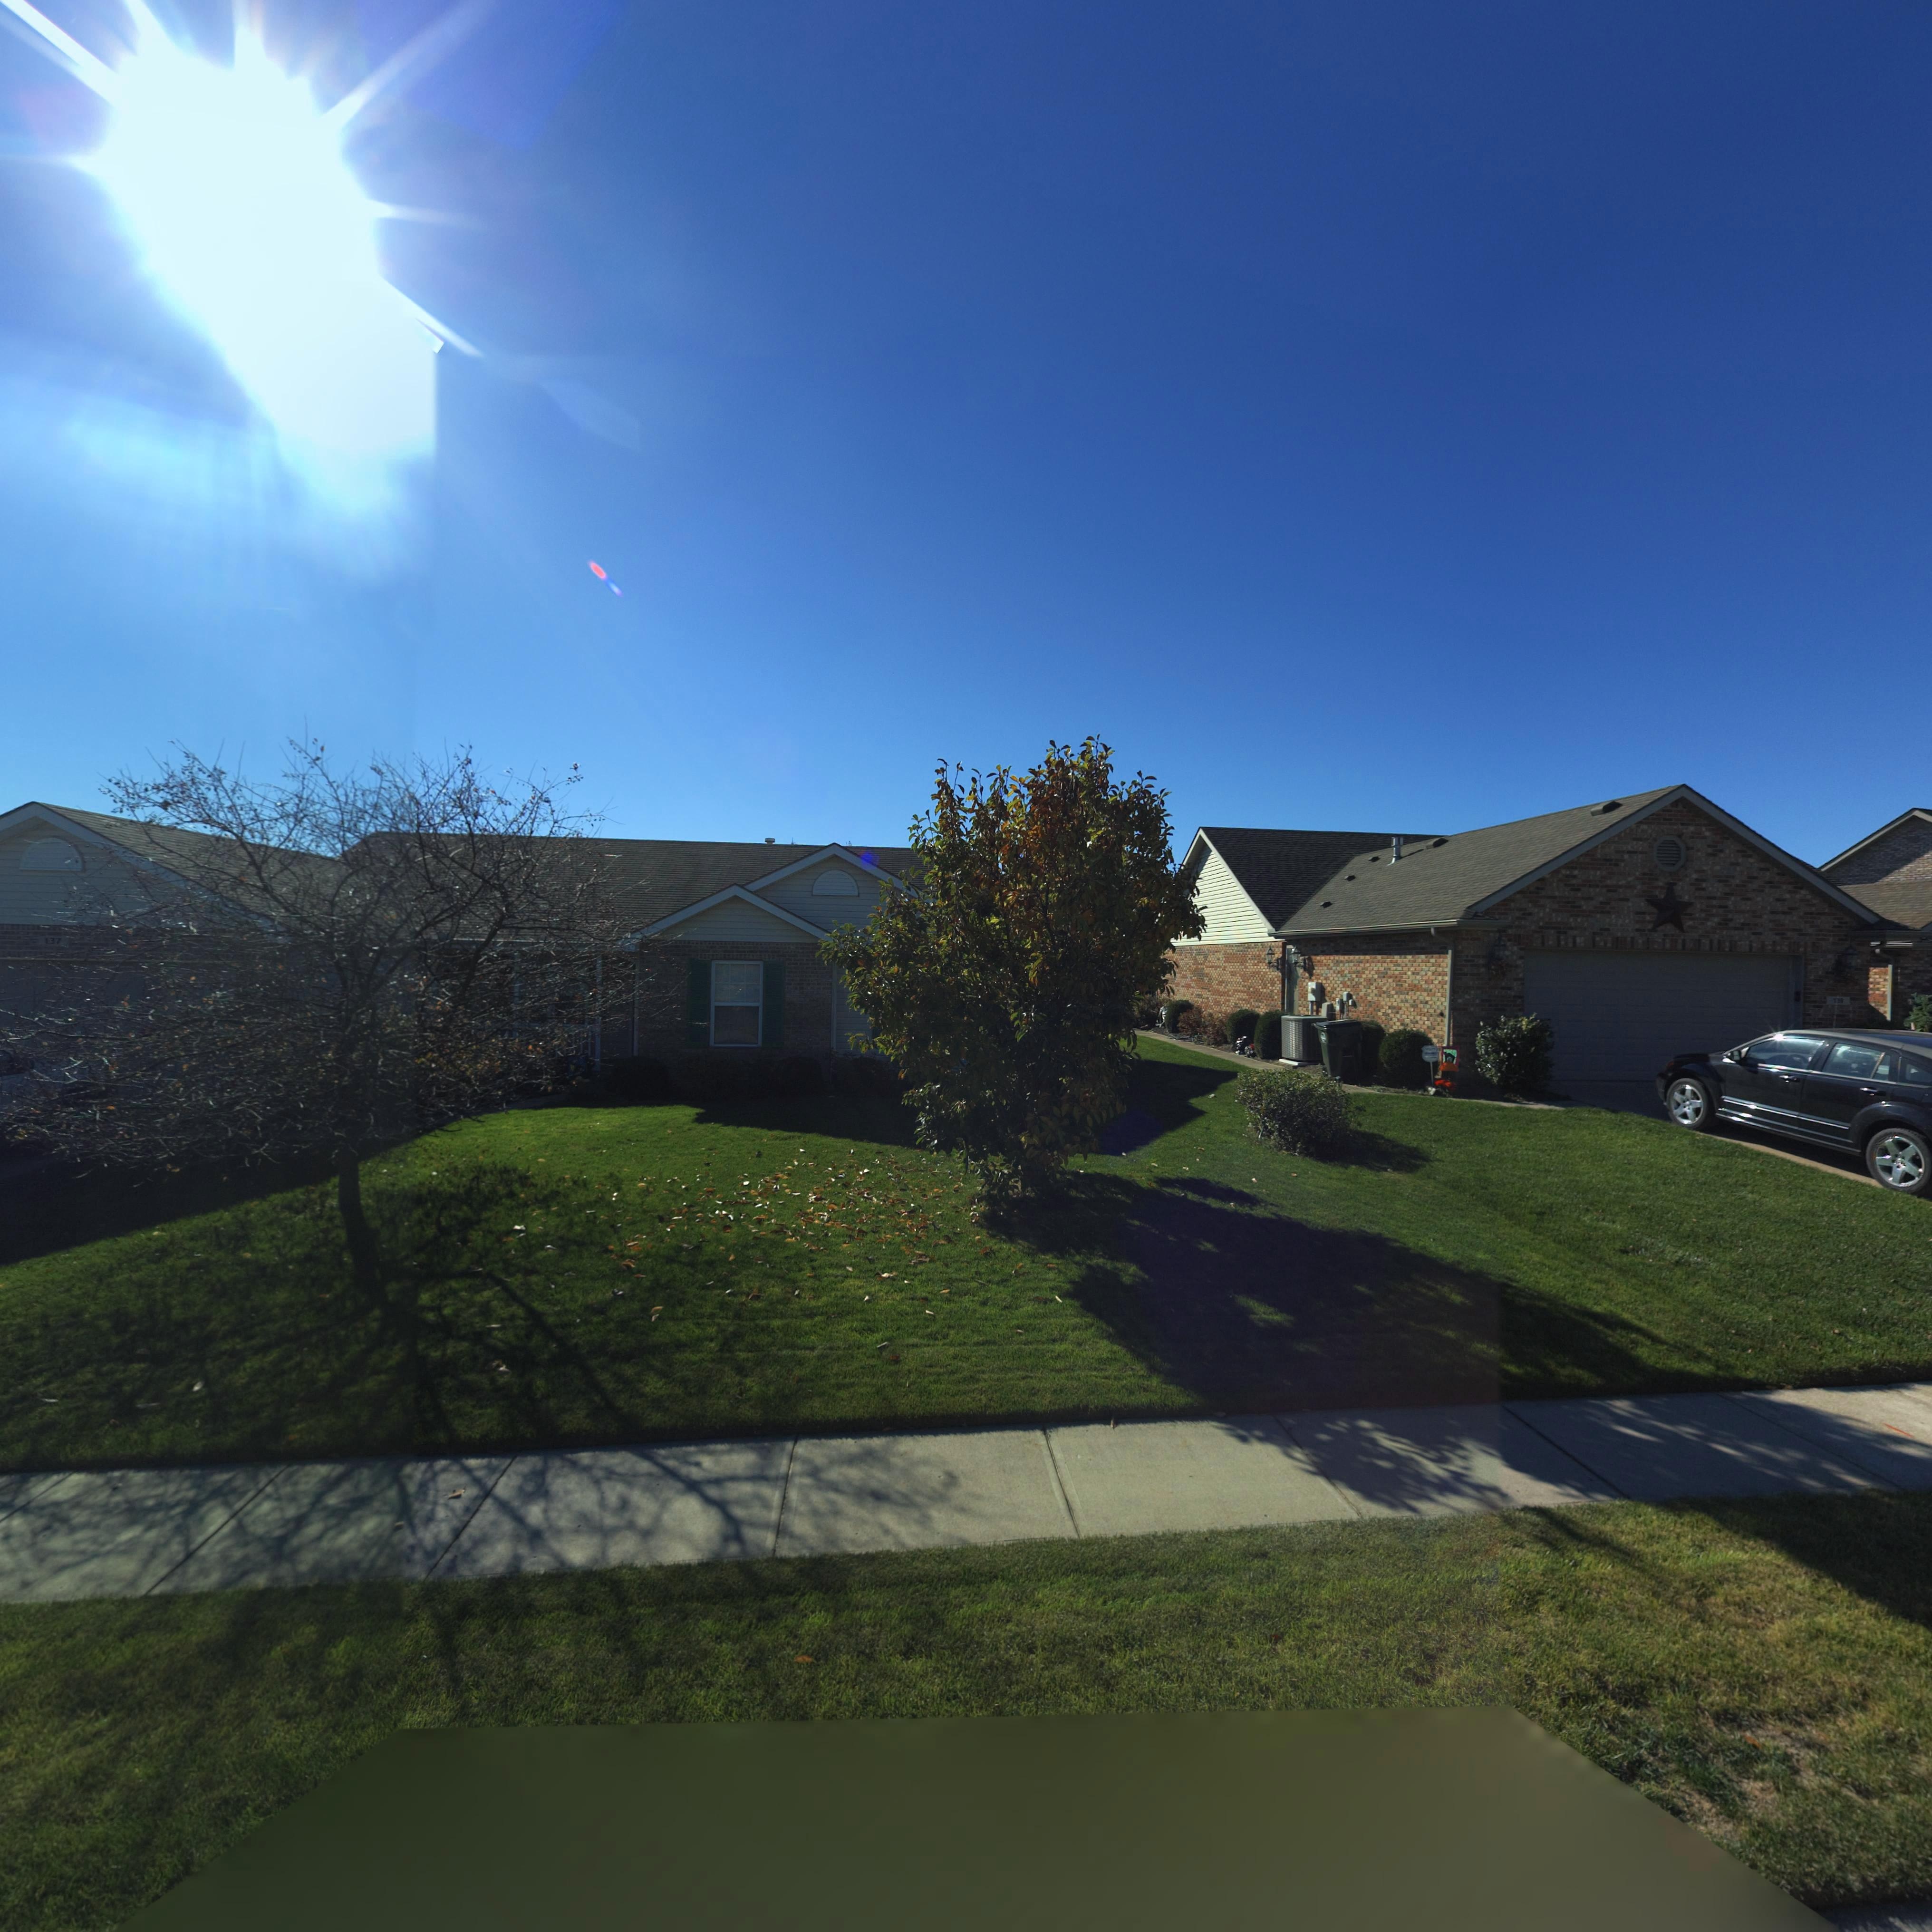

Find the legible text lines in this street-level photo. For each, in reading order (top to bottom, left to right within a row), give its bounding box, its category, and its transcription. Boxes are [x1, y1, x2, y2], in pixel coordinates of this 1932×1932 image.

[44, 937, 61, 945] StreetNumber: 137
[1832, 997, 1844, 1004] StreetNumber: 1*9